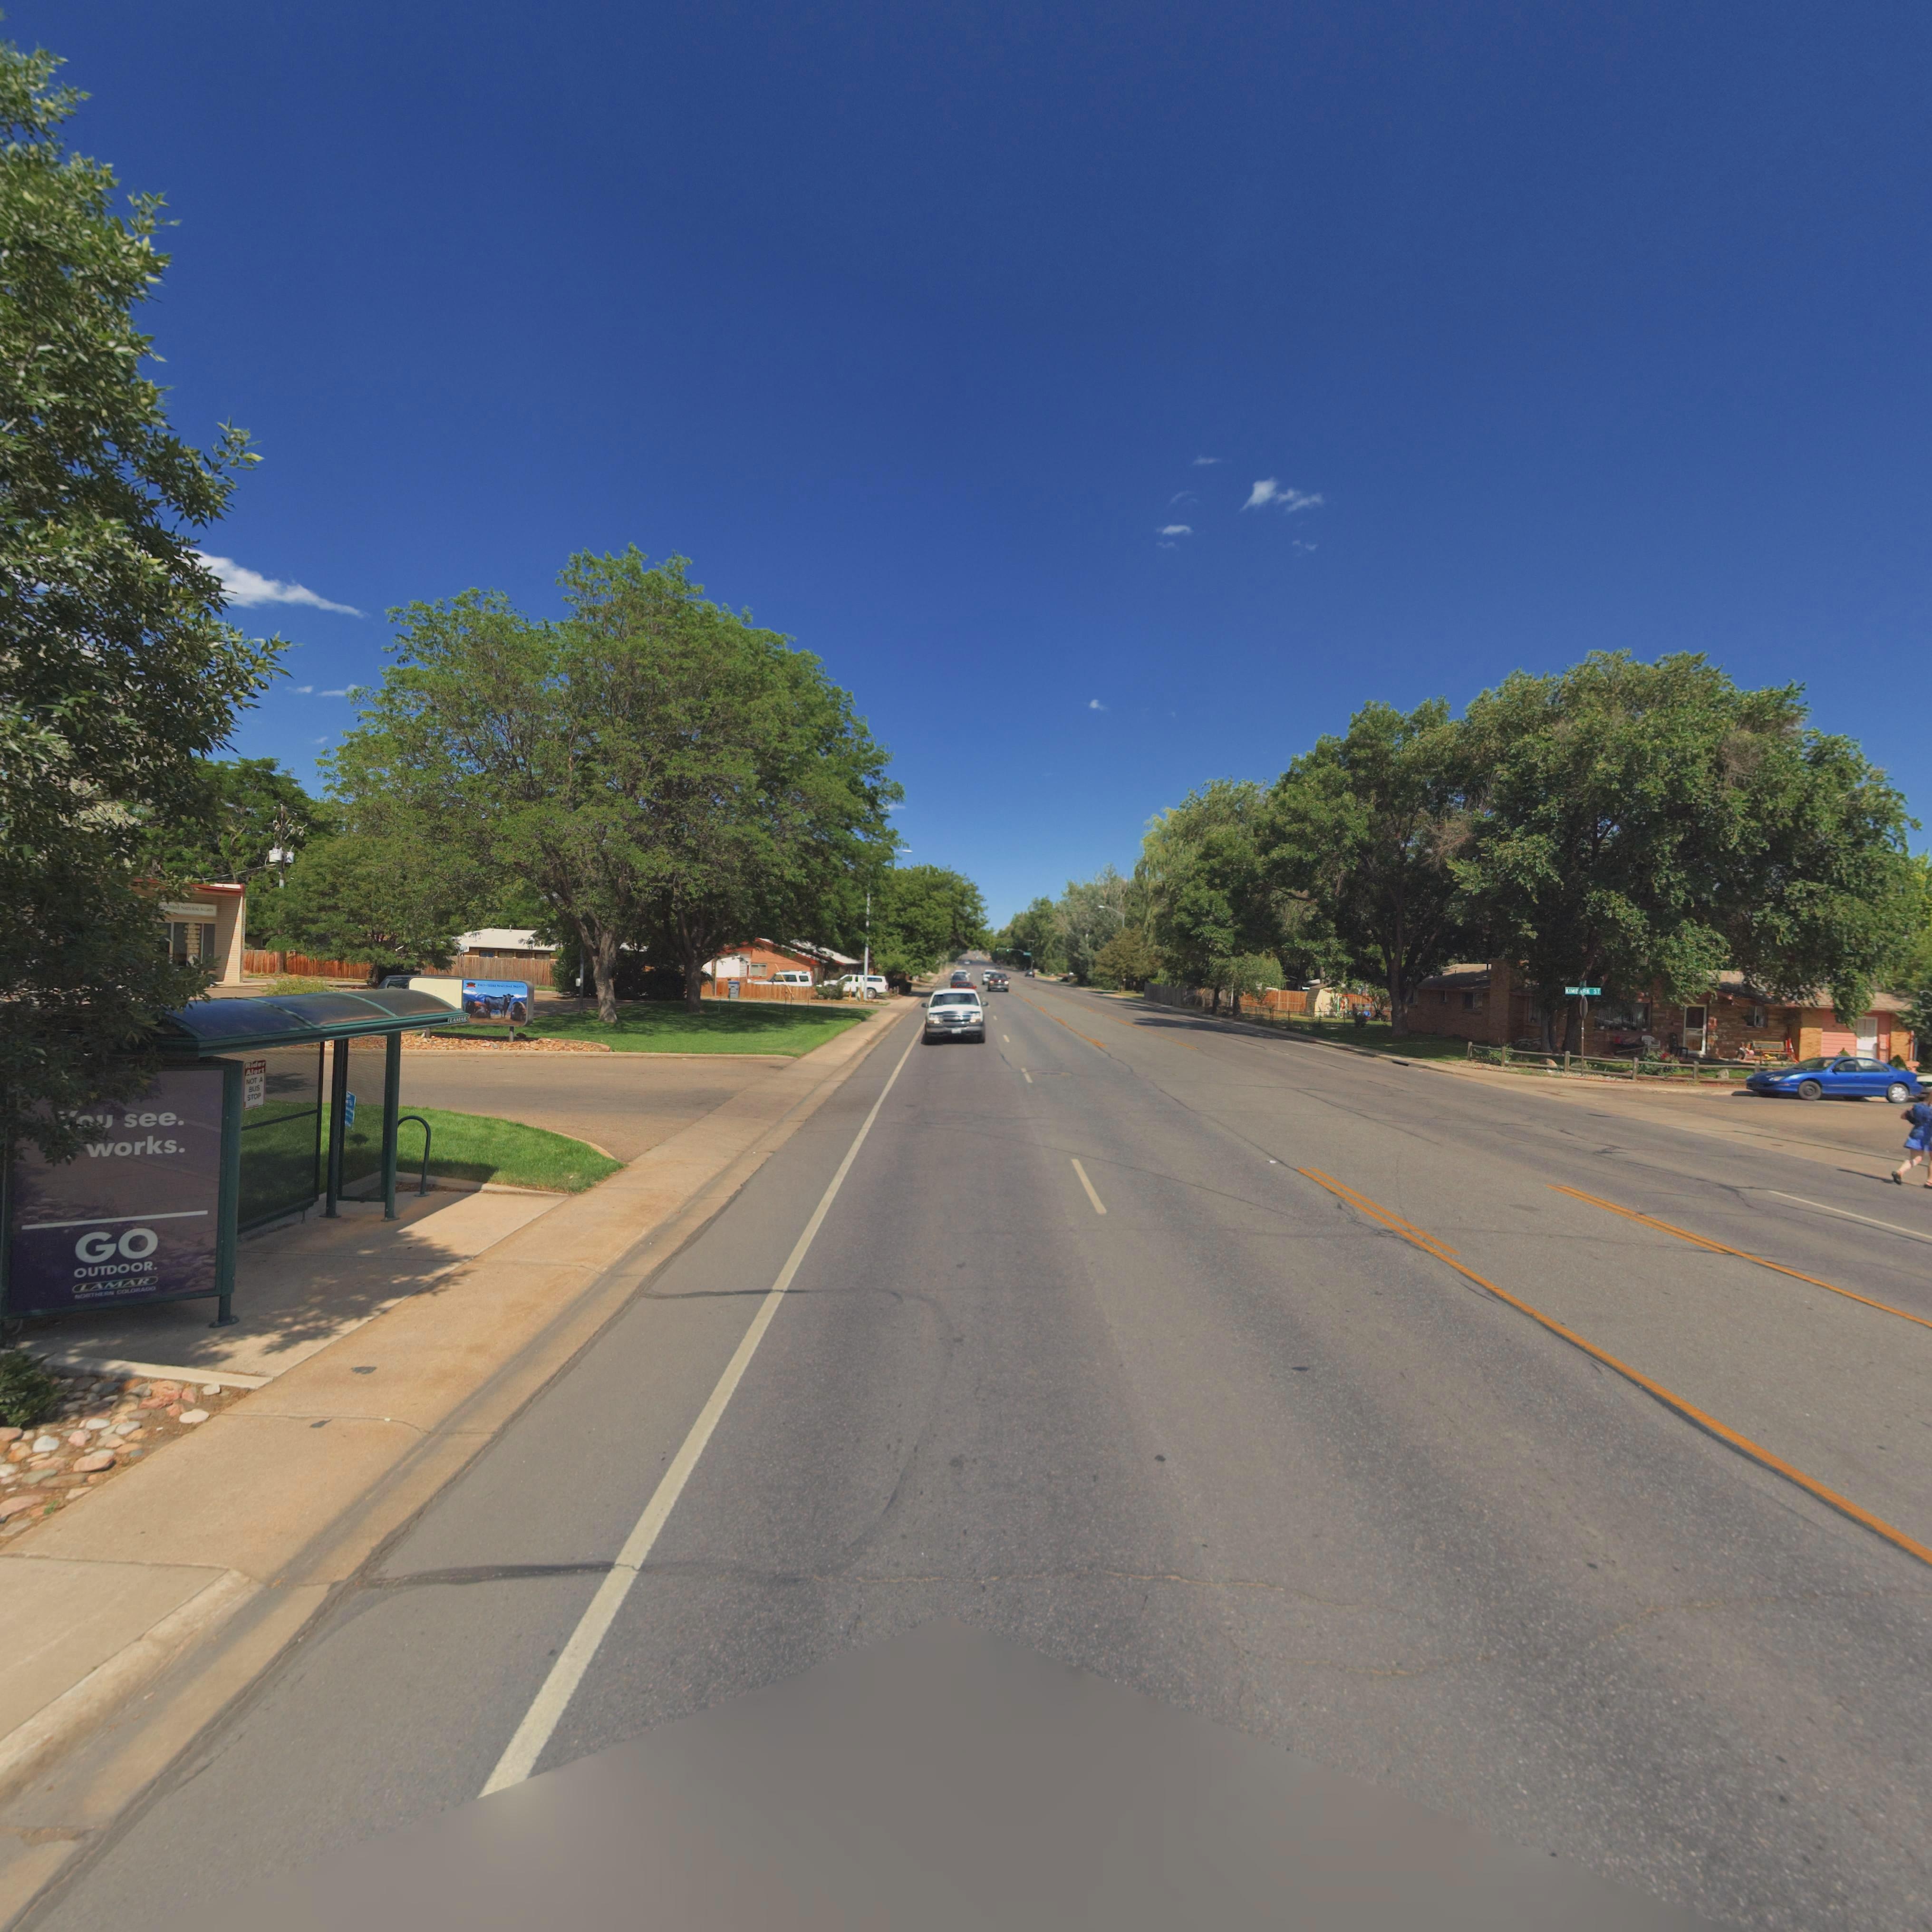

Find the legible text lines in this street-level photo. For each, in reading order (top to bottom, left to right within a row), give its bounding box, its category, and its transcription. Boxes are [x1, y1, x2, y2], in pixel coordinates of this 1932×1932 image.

[140, 903, 213, 912] BusinessName: ********* N*****L ***T*
[477, 983, 524, 988] BusinessName: **O****** N****** ***T*
[1565, 988, 1601, 995] StreetName: KIMBARK ST